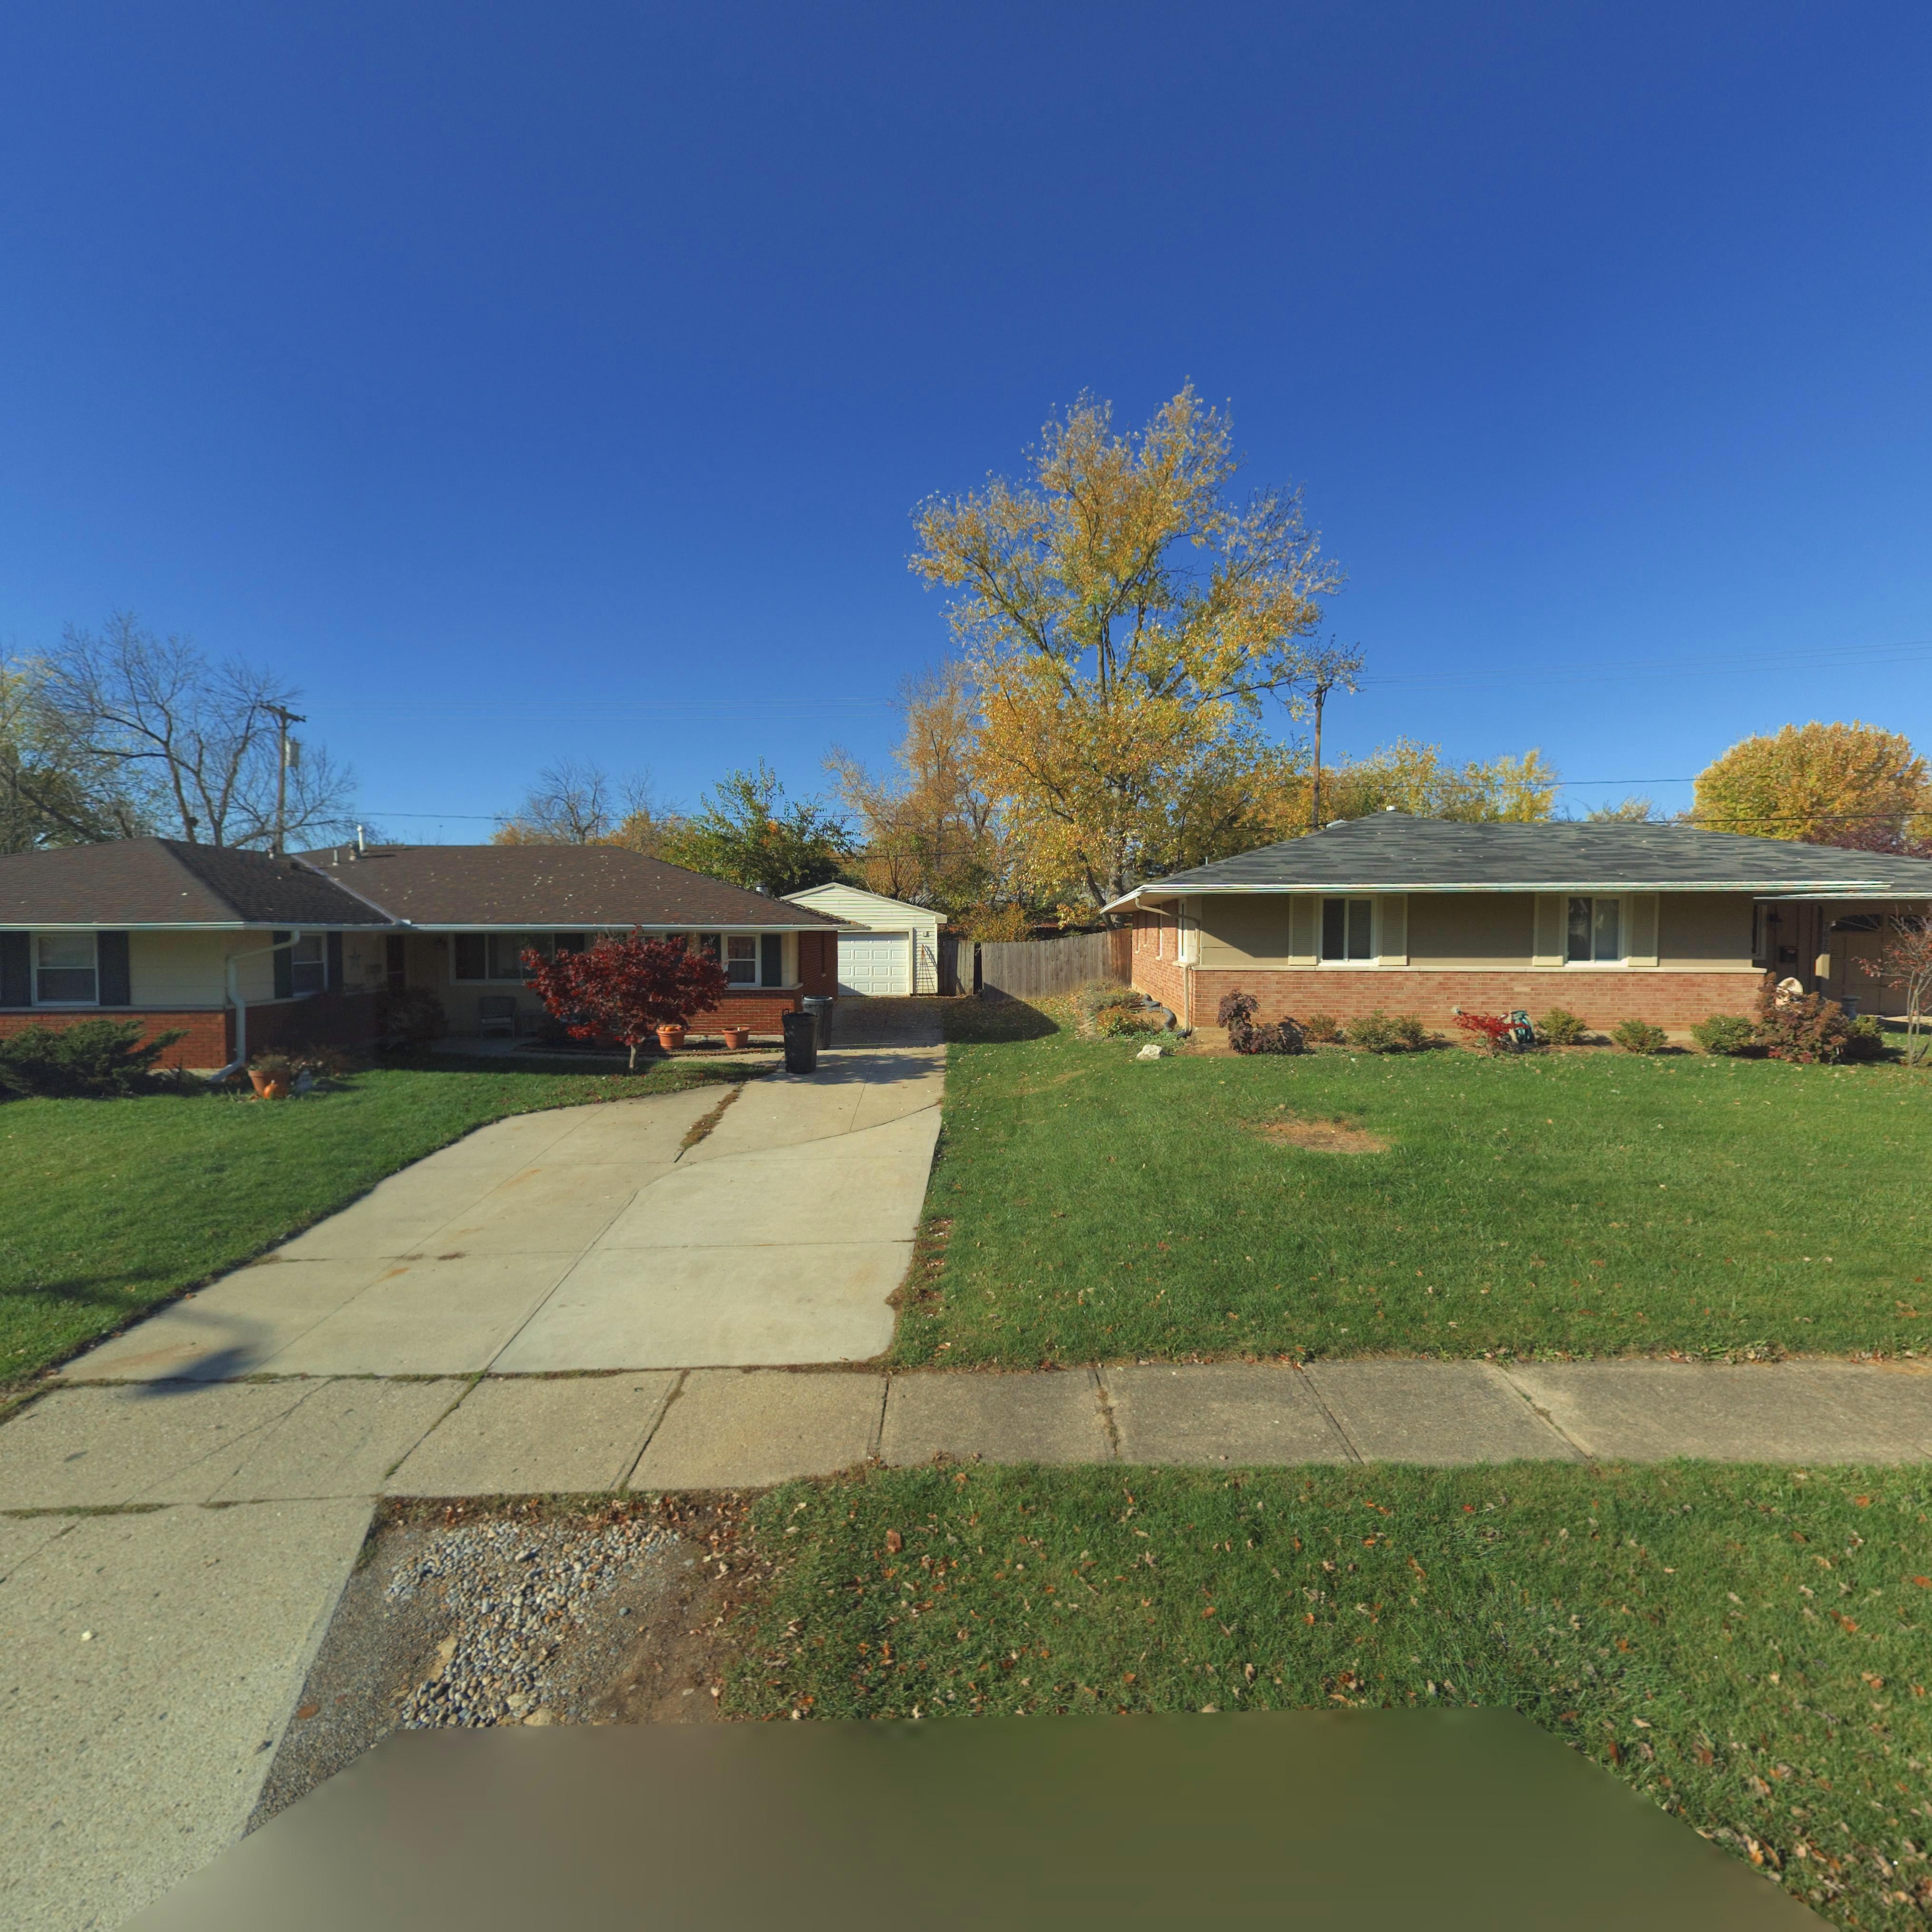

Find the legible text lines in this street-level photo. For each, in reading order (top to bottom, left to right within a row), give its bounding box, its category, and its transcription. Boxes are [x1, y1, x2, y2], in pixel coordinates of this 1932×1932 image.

[1822, 921, 1830, 955] StreetNumber: 7625